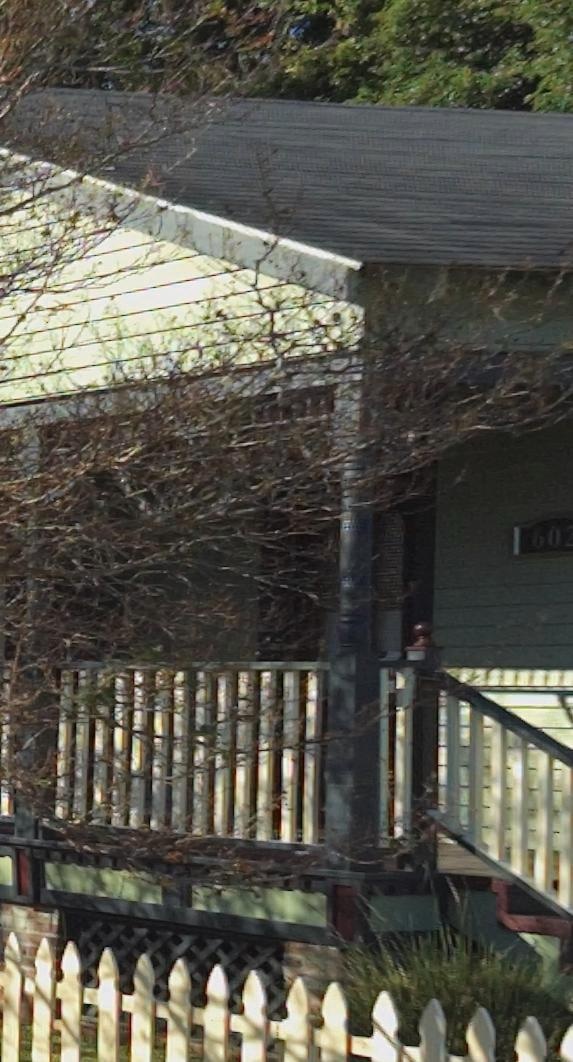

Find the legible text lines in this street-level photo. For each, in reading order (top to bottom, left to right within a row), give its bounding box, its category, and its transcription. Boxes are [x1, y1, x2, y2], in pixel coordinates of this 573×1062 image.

[530, 523, 563, 552] StreetNumber: 60